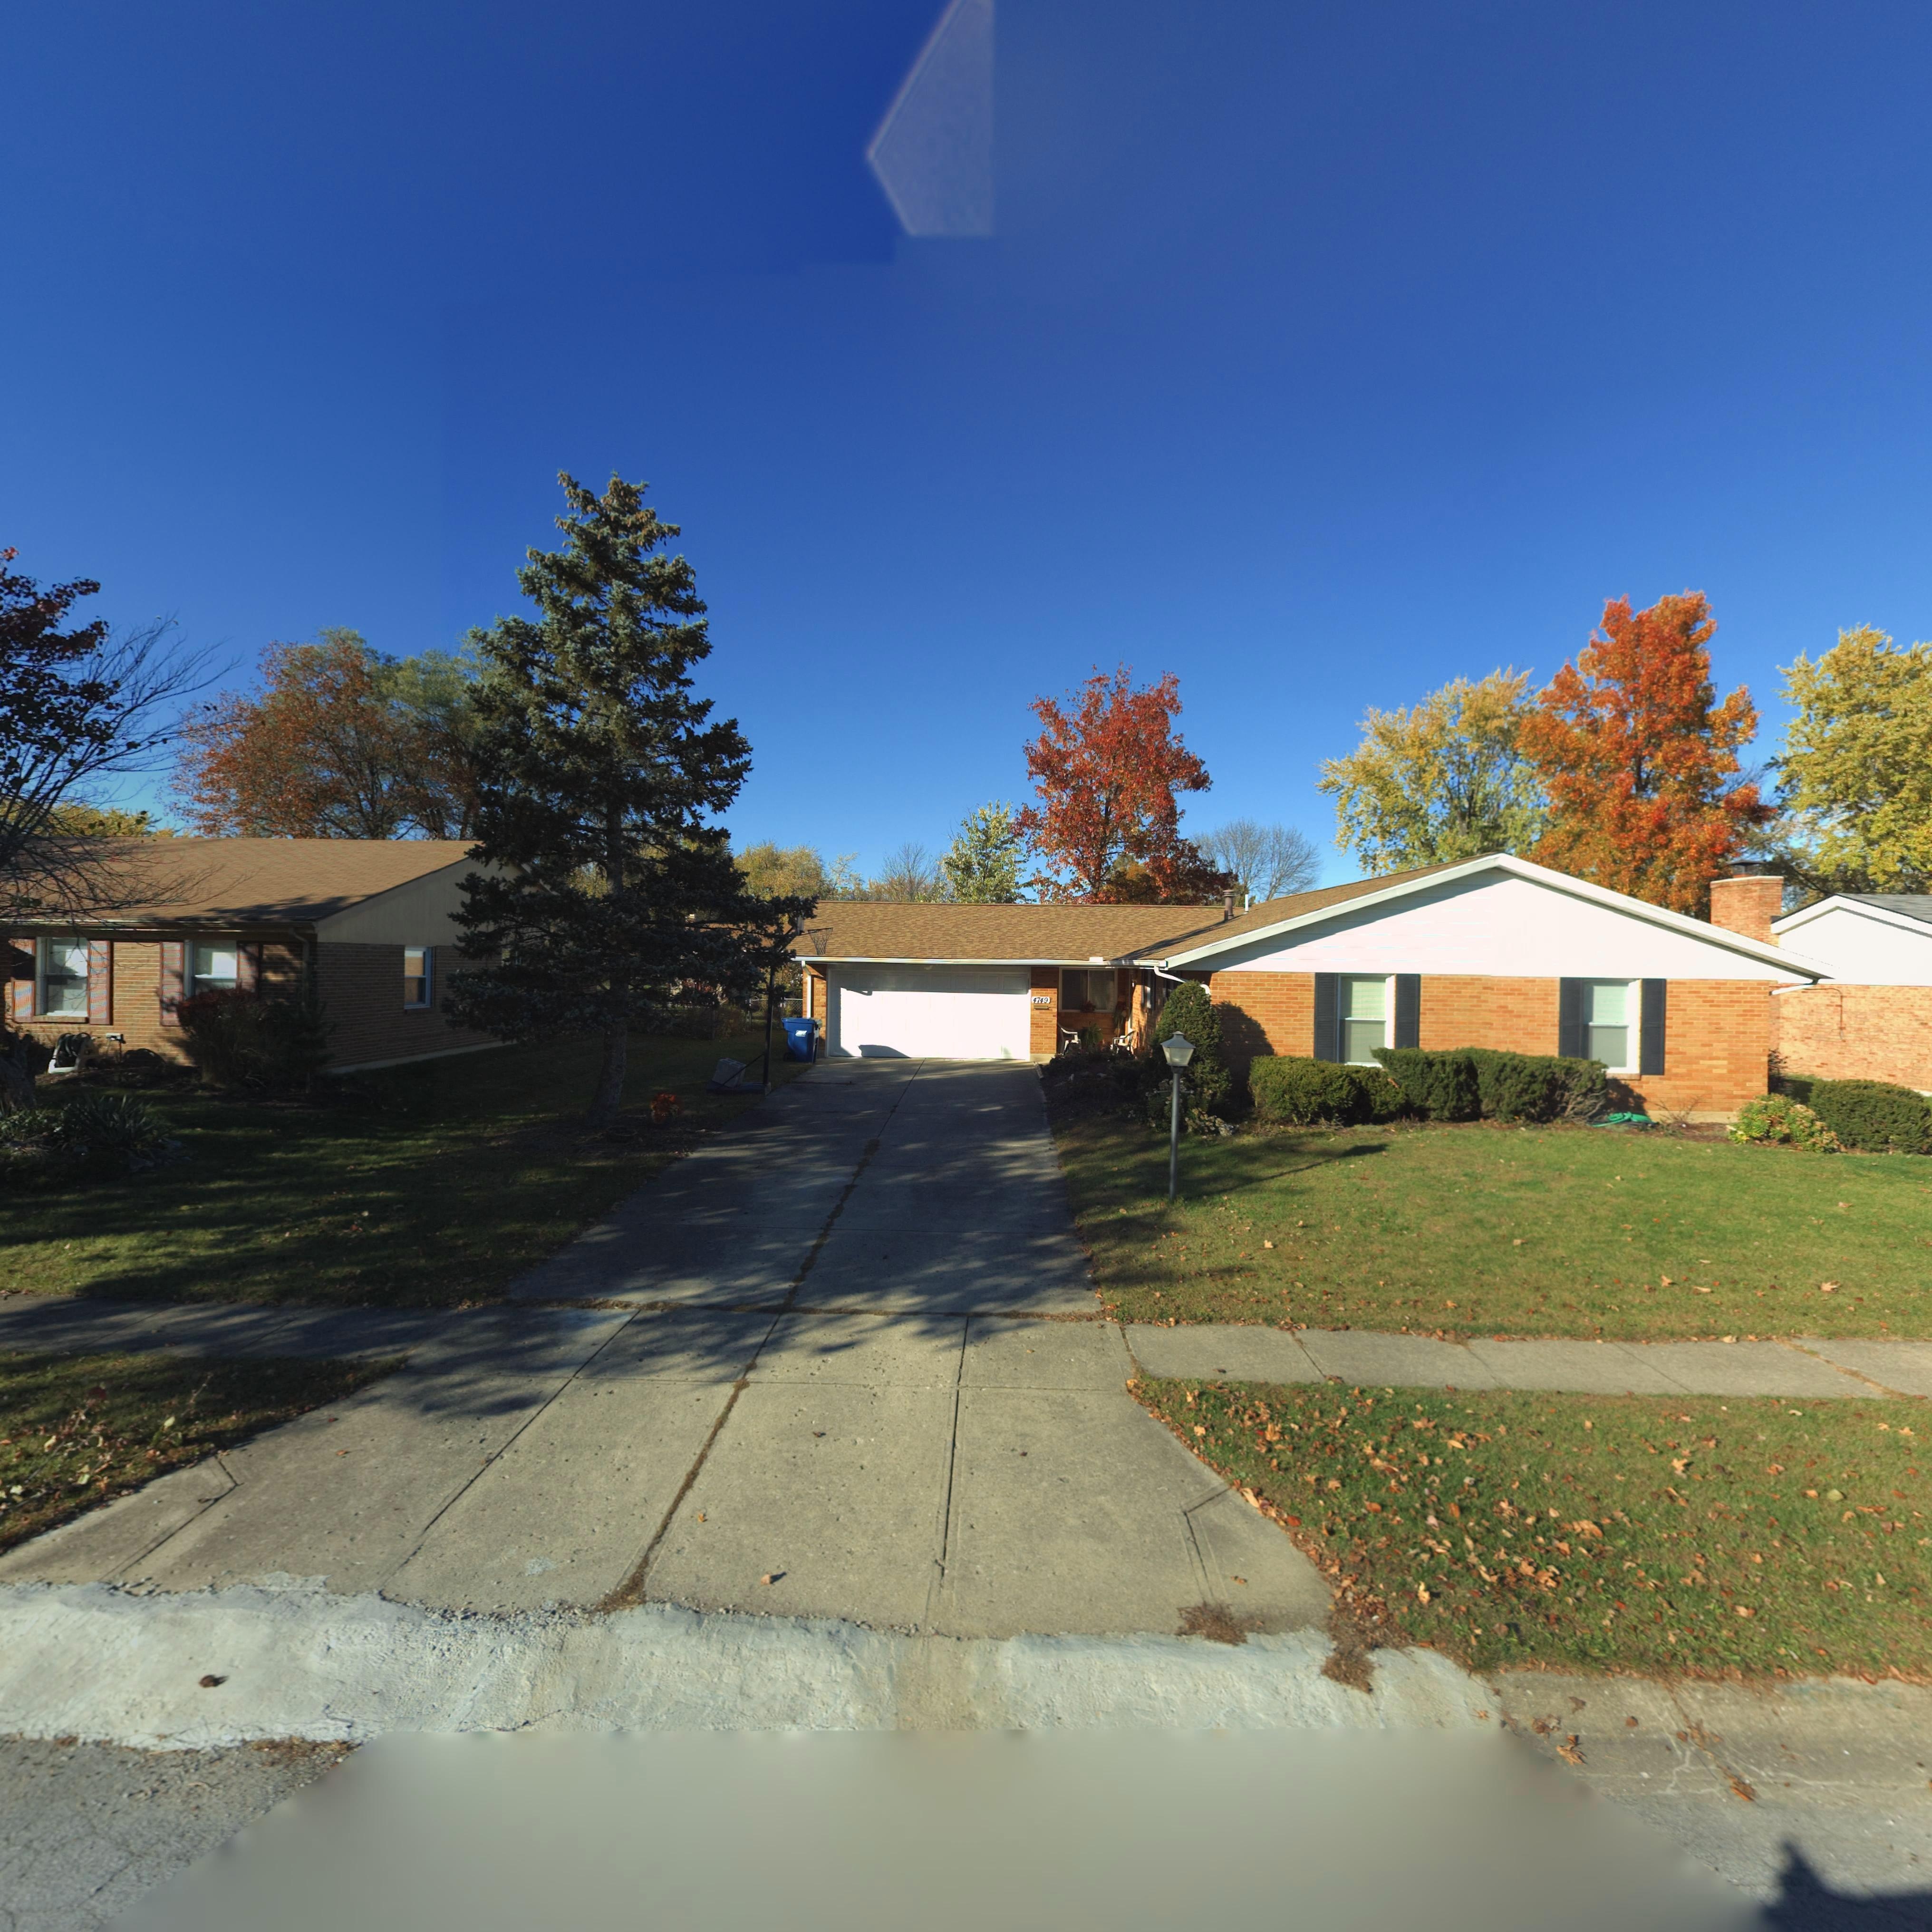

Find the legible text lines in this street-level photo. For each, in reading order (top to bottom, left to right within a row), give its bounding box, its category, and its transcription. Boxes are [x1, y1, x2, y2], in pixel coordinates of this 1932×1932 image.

[1032, 996, 1049, 1004] StreetNumber: 4749